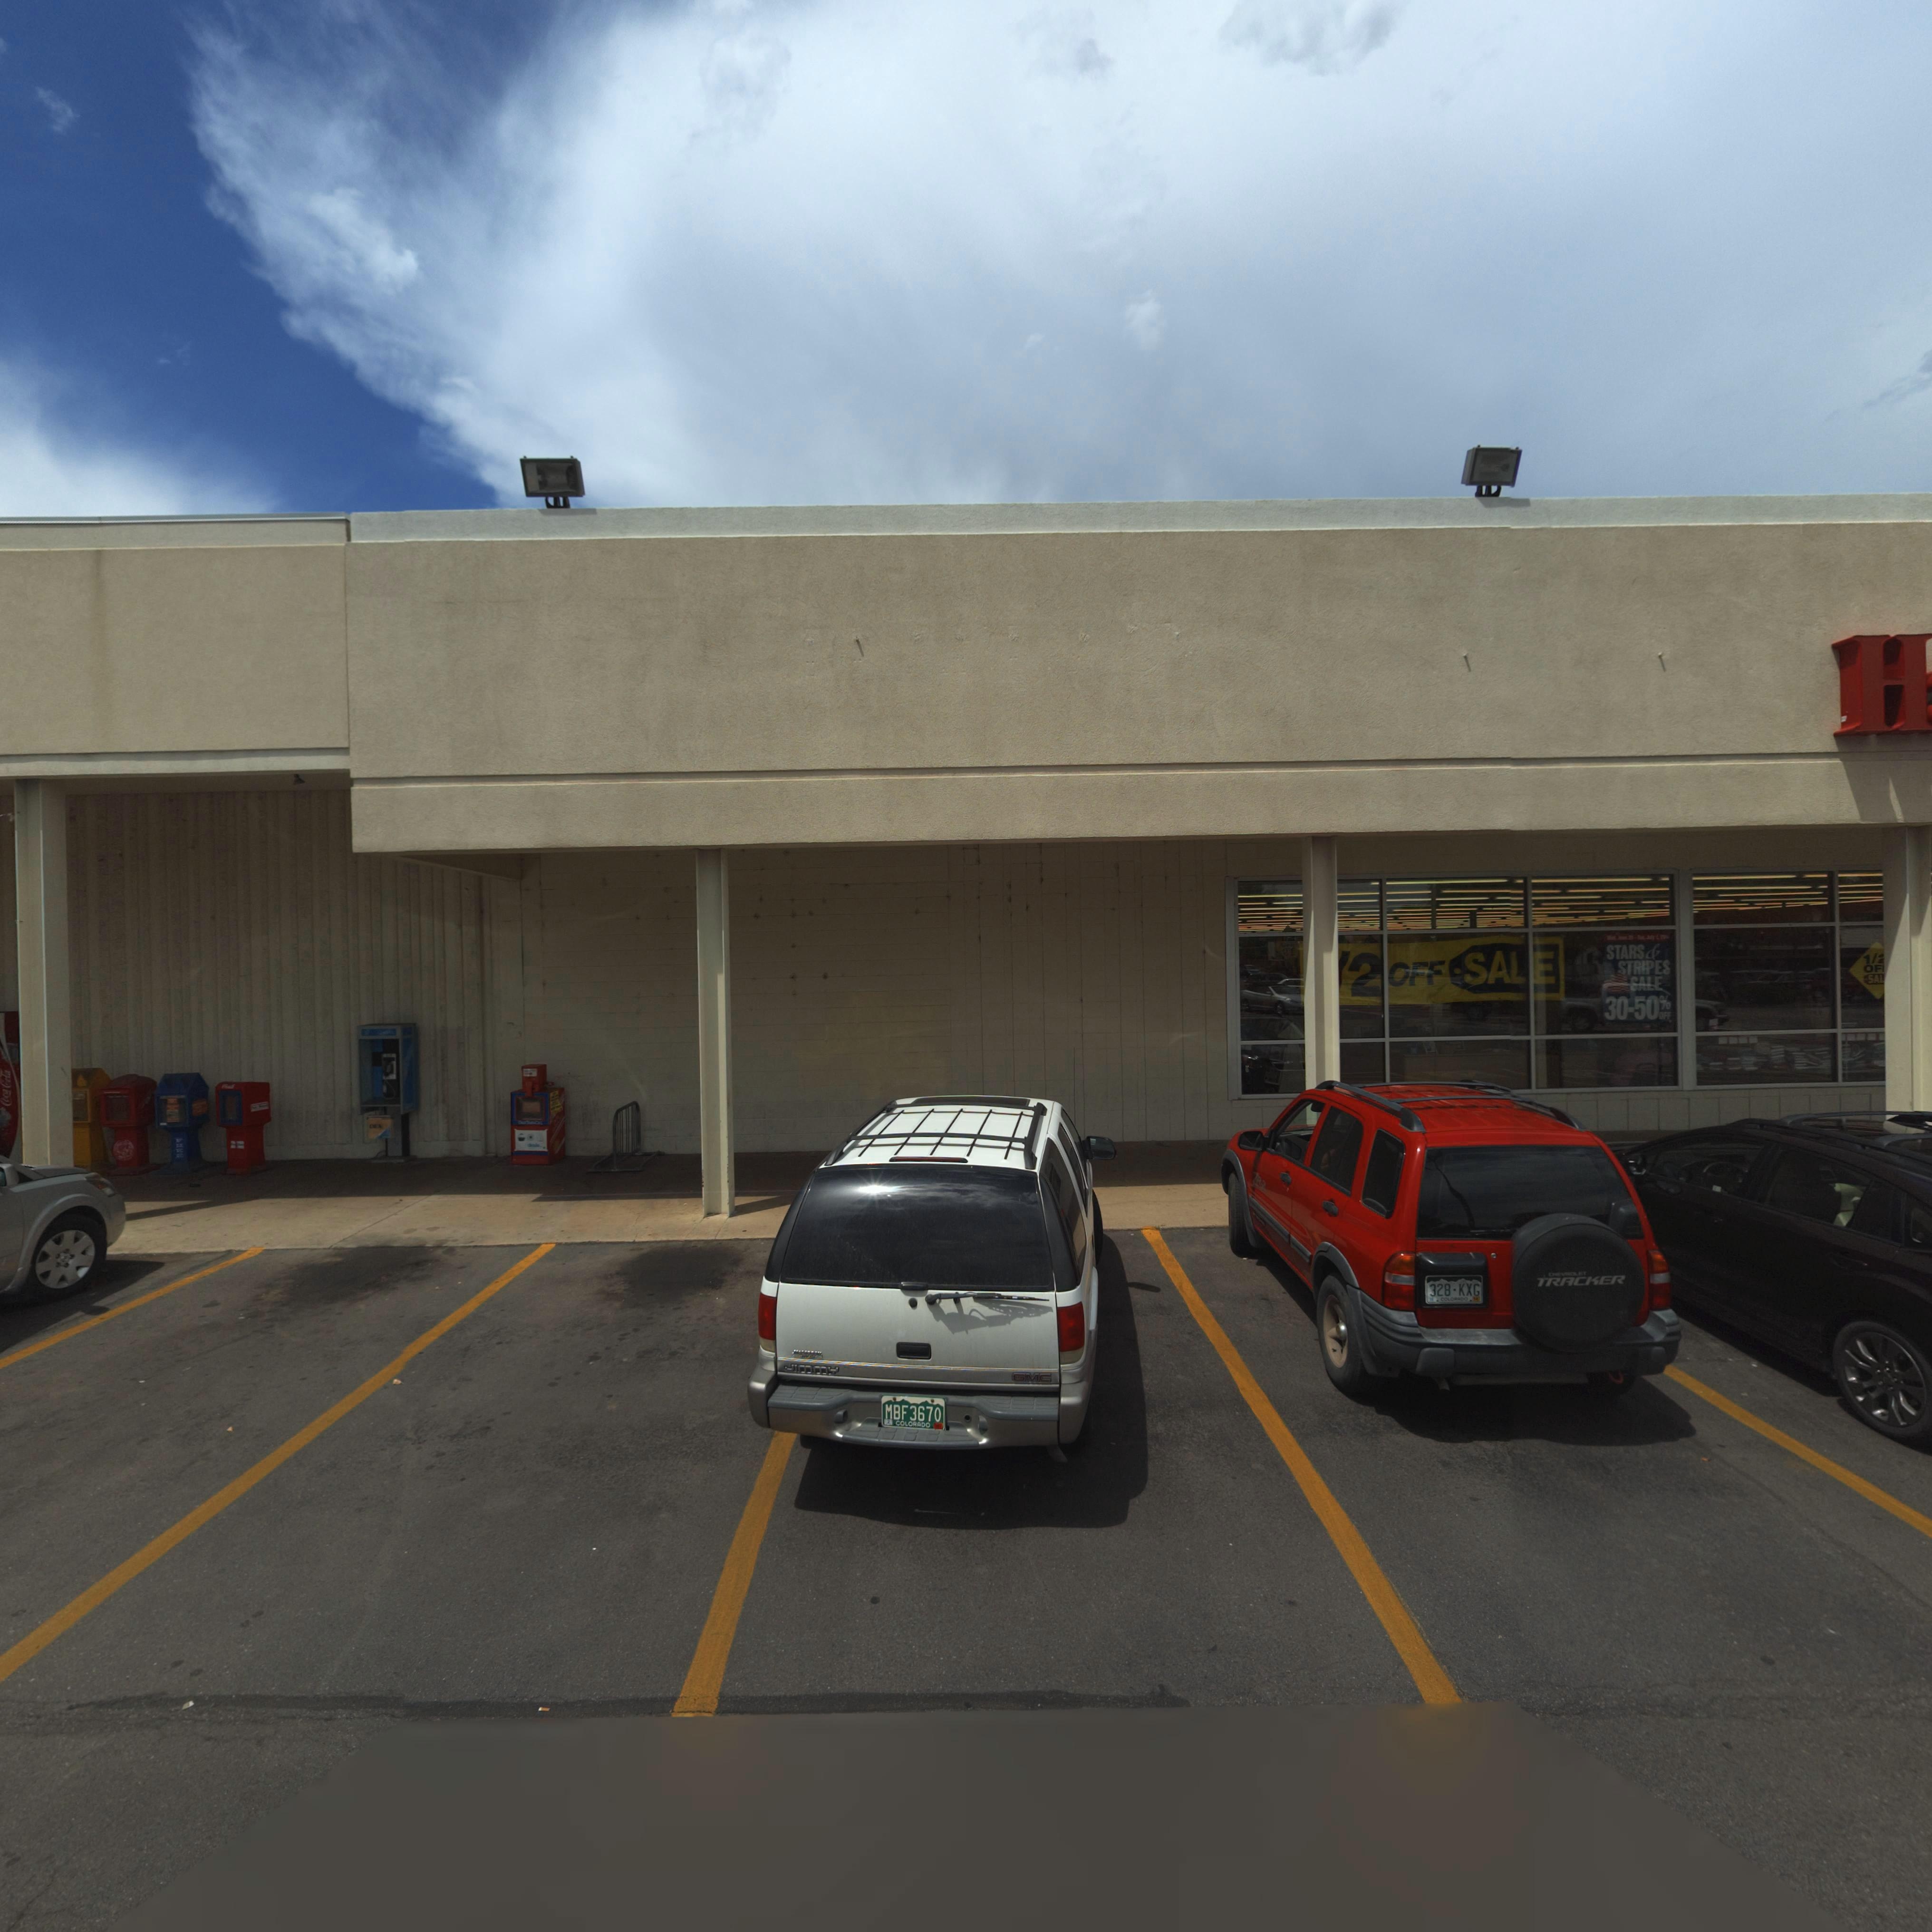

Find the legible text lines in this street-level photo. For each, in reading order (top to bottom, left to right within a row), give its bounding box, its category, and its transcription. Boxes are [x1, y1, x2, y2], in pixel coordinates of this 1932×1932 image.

[1851, 634, 1928, 731] BusinessName: H